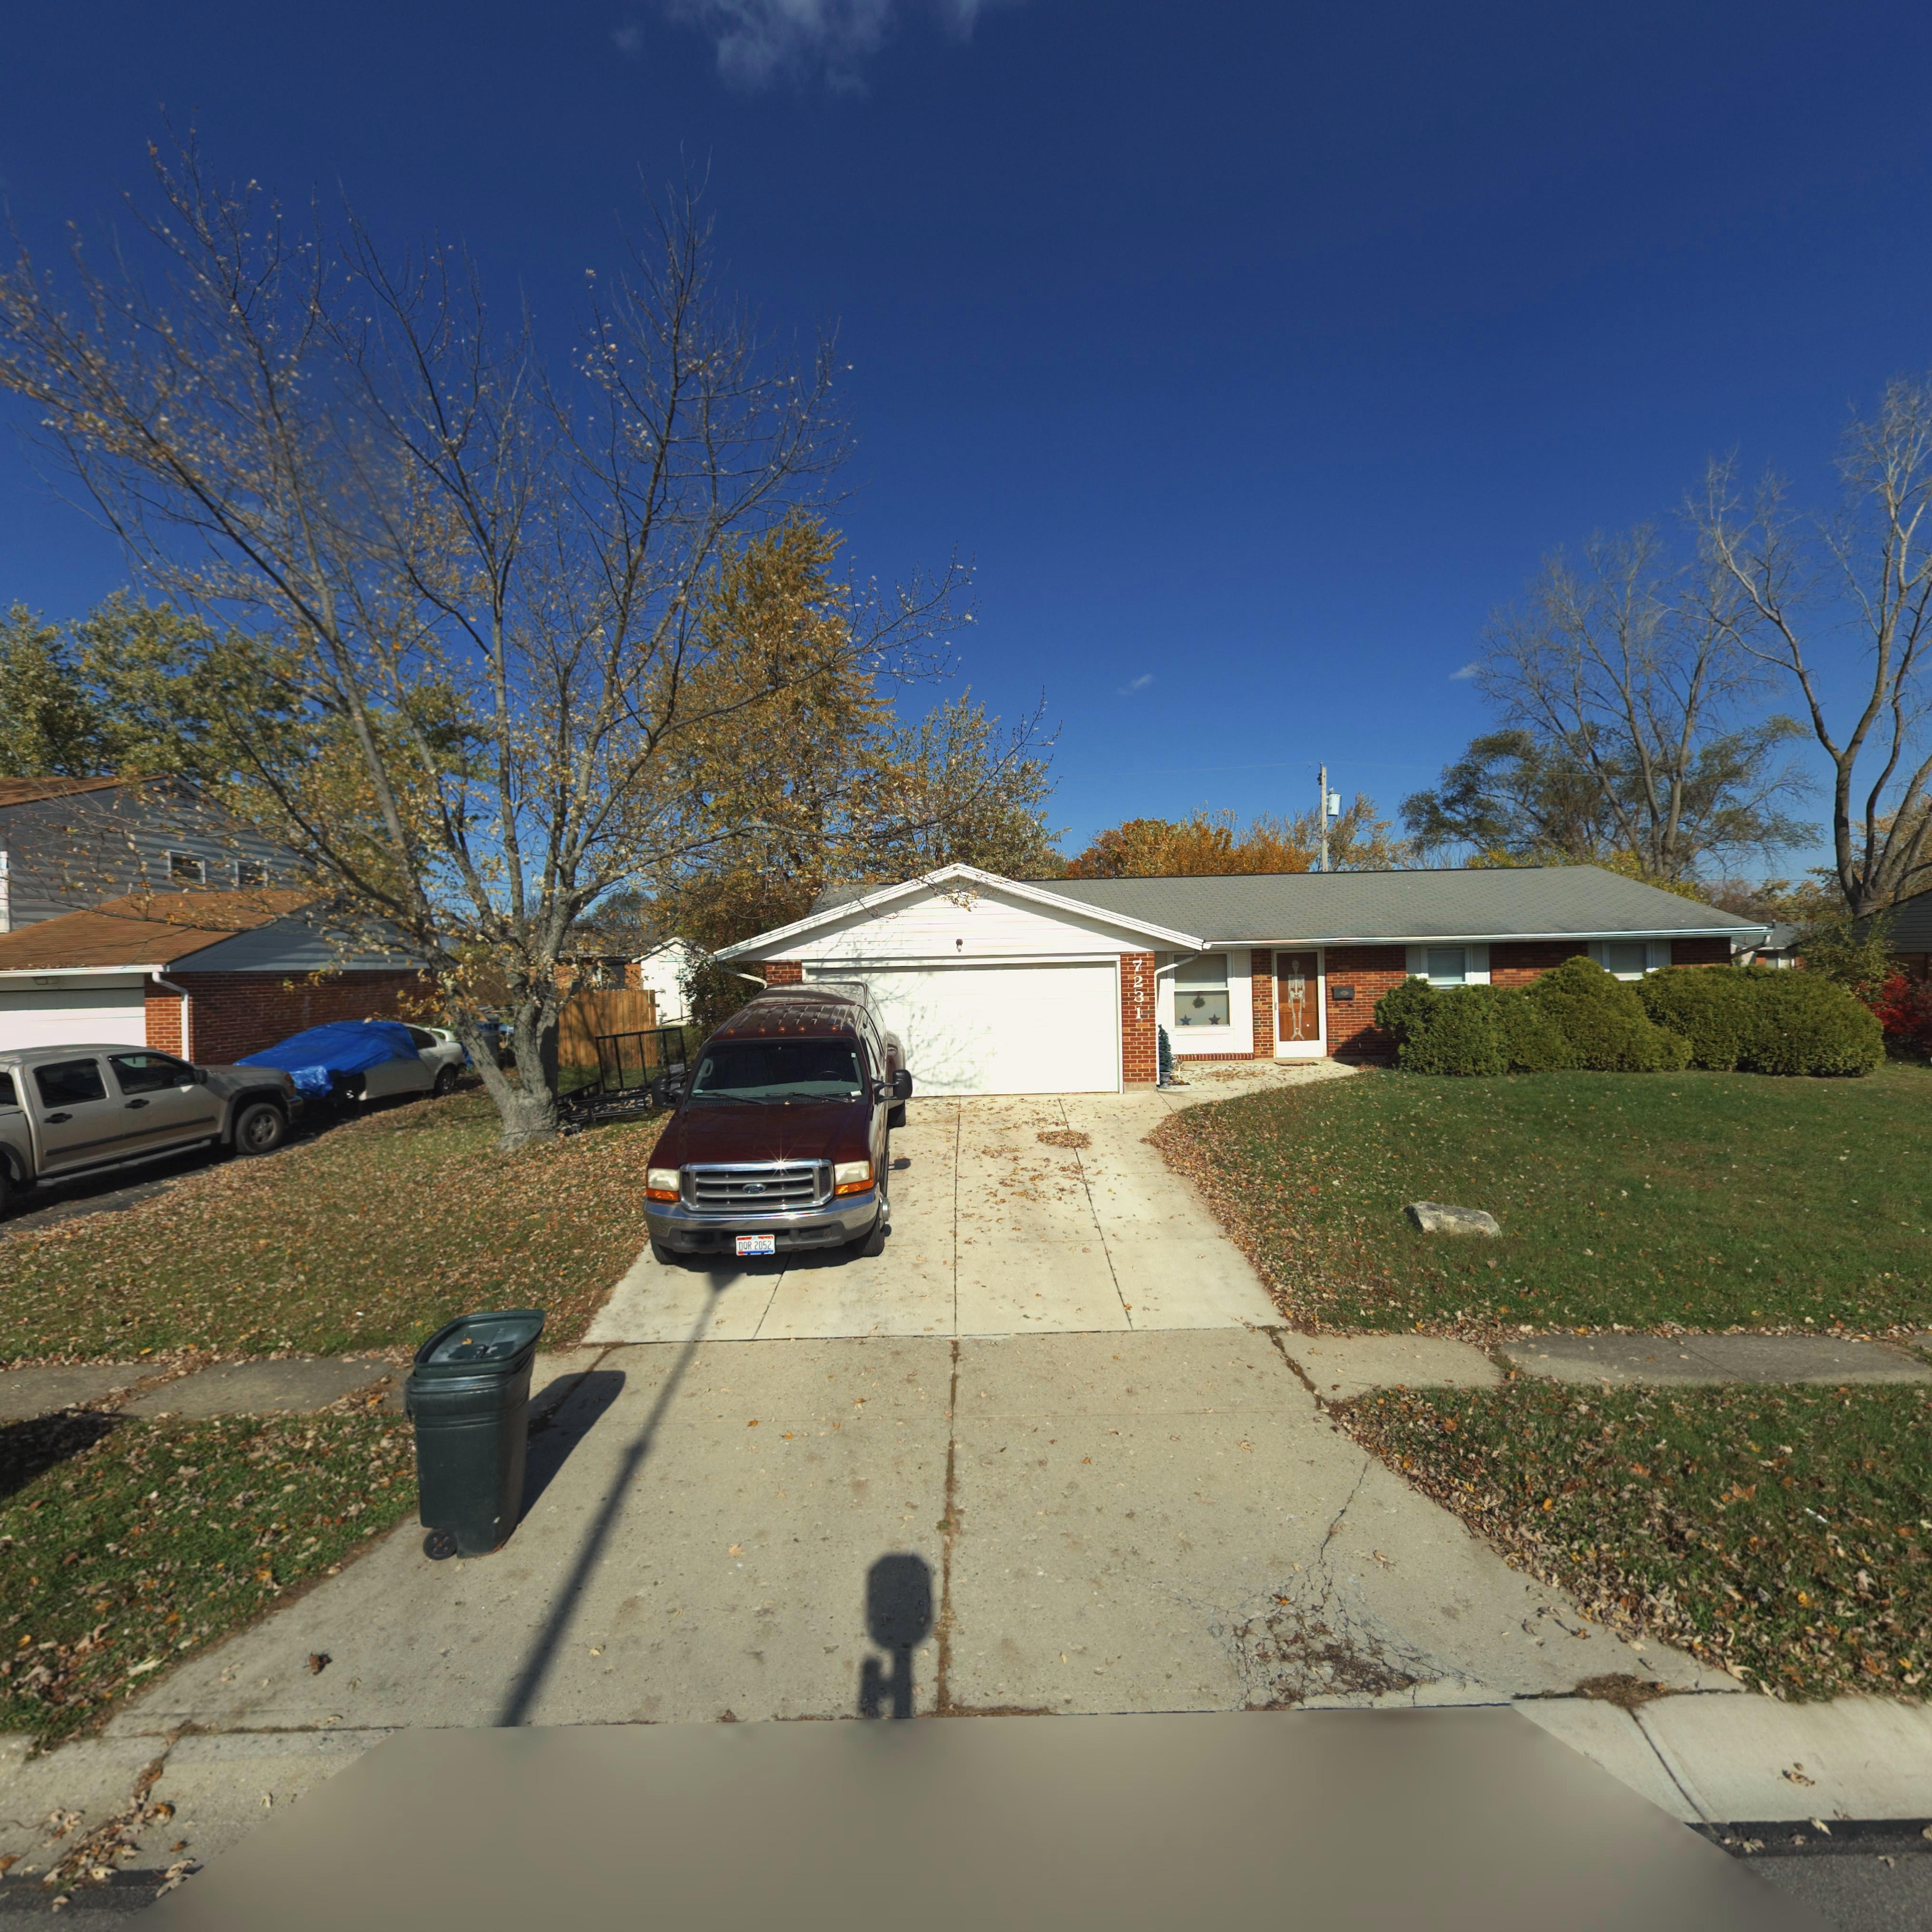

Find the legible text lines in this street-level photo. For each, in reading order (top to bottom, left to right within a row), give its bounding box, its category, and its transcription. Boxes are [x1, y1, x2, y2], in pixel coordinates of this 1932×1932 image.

[1131, 959, 1146, 1020] StreetNumber: 7231